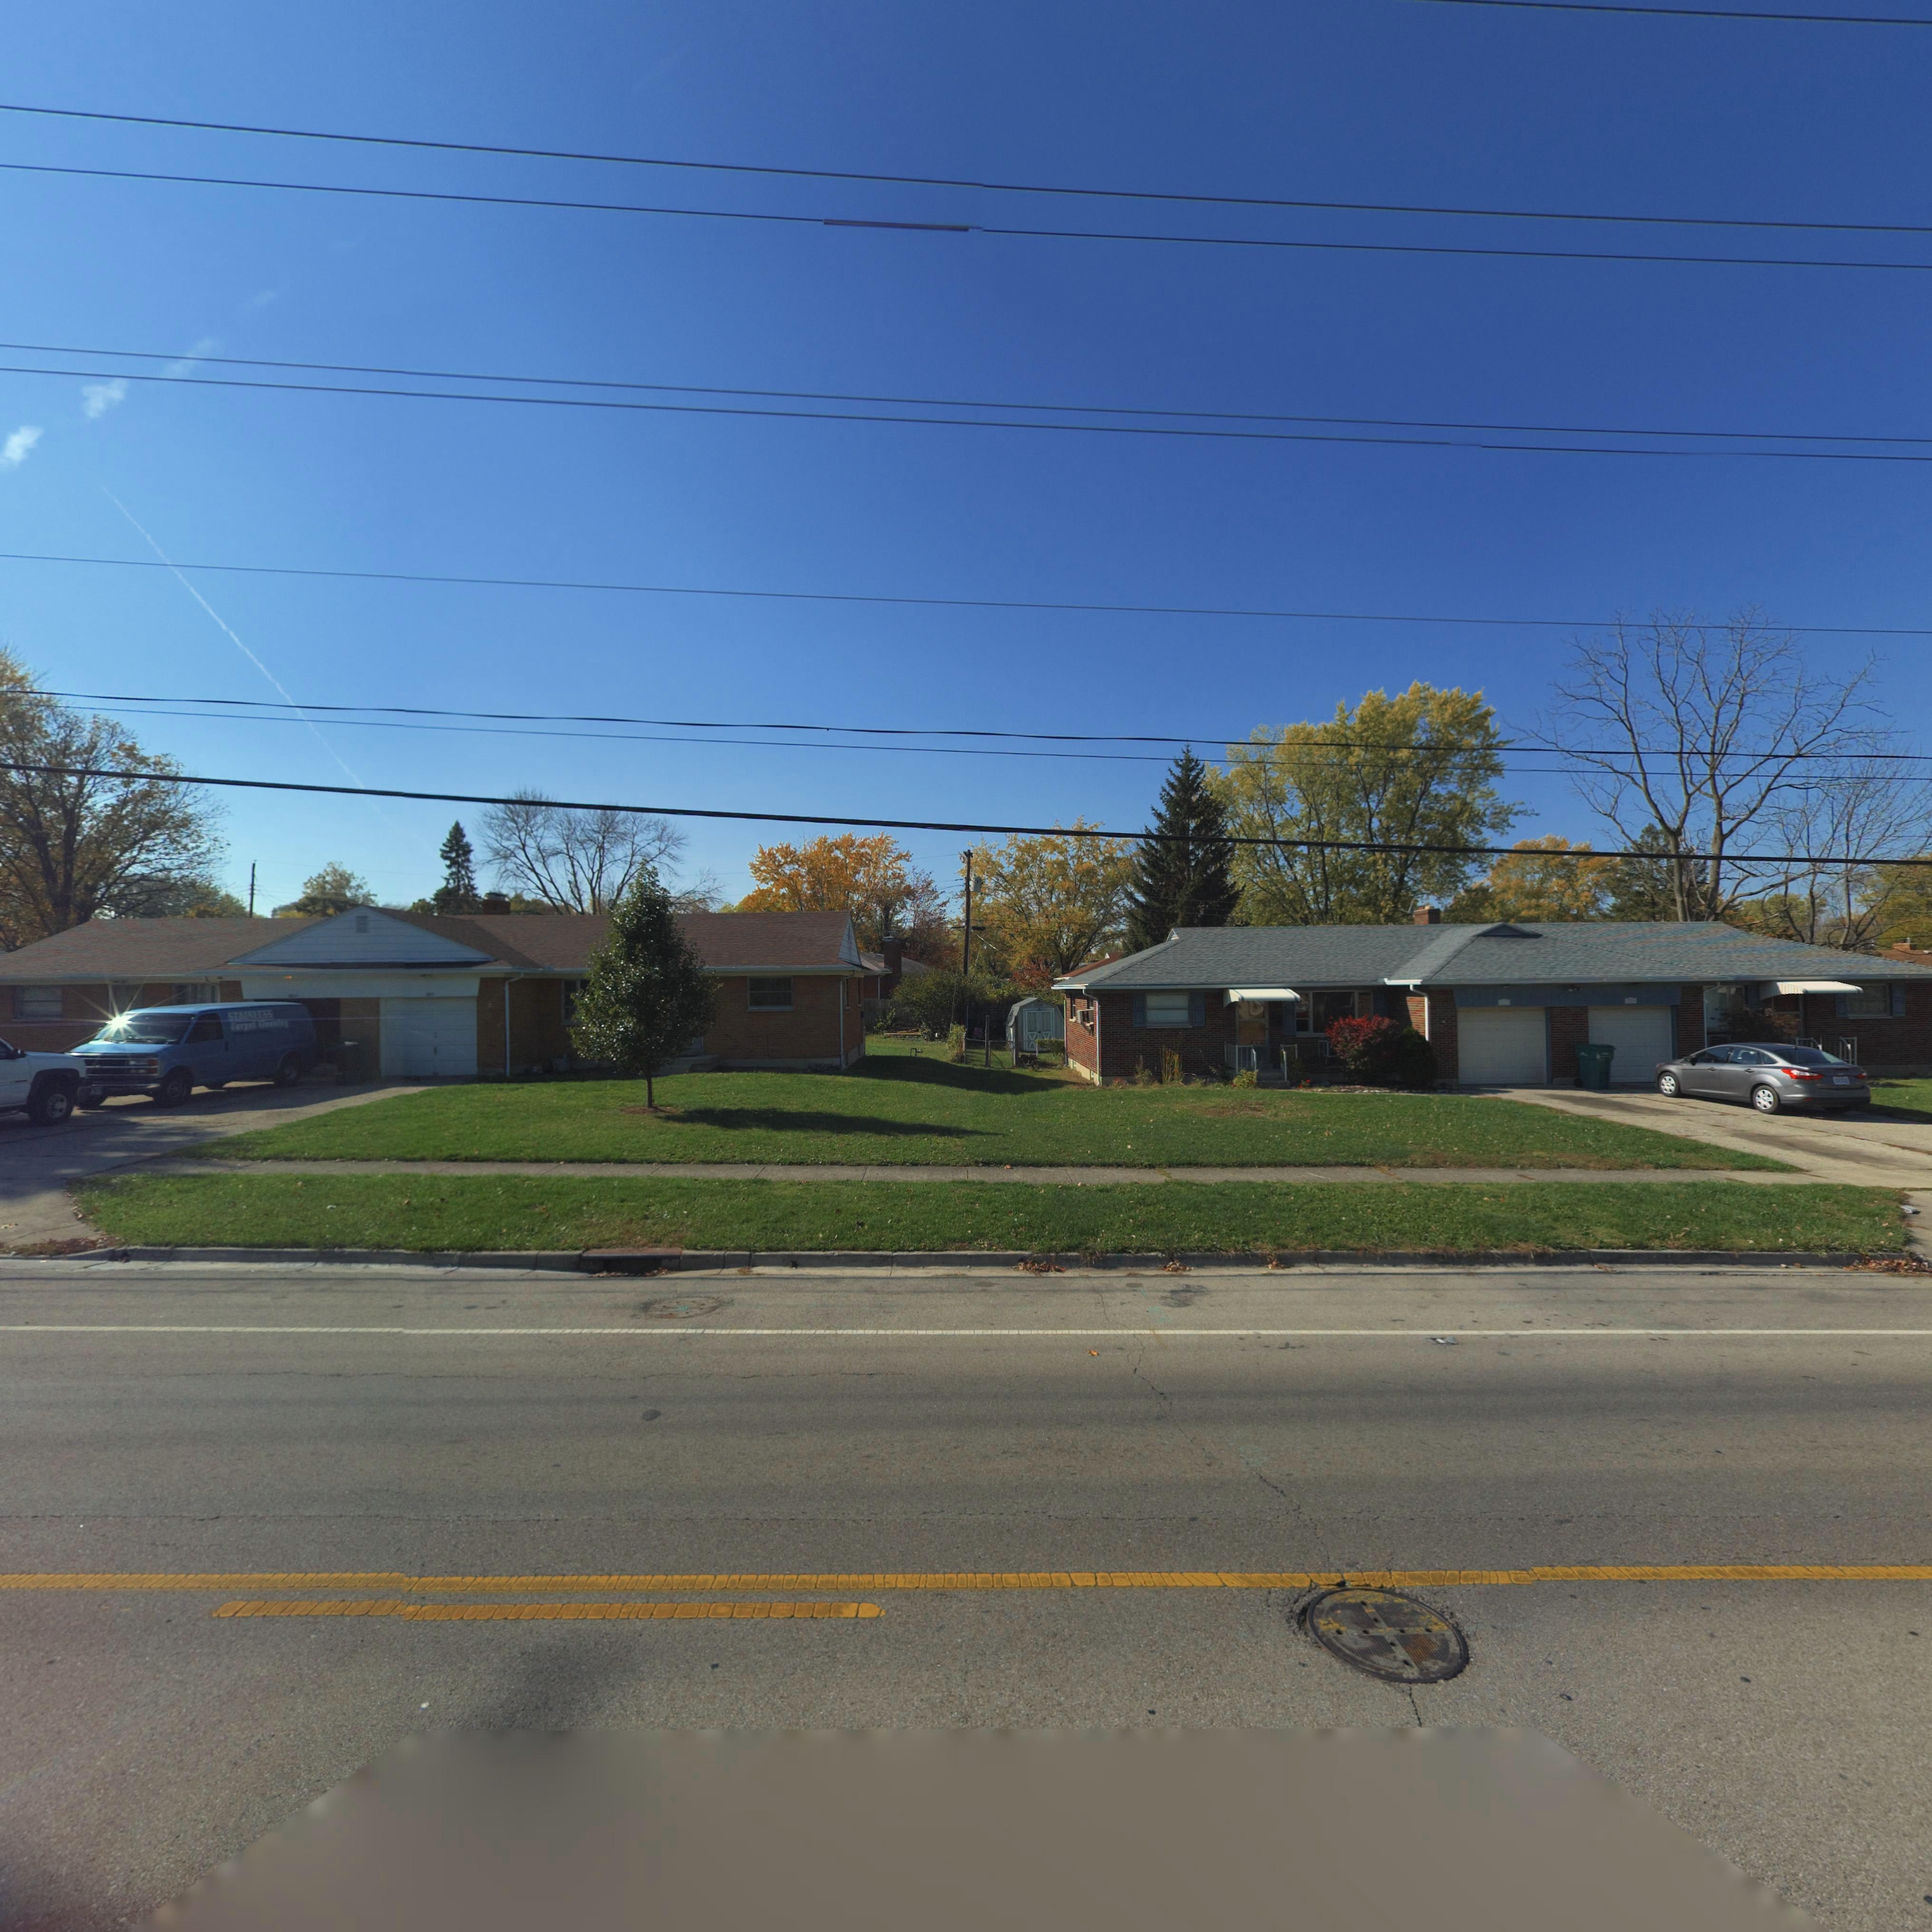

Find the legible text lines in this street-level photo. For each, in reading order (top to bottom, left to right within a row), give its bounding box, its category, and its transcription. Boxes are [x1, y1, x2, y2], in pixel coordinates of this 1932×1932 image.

[287, 994, 298, 997] StreetNumber: 3817
[426, 991, 434, 995] StreetNumber: 3817
[1499, 1000, 1509, 1005] StreetNumber: 3813
[1626, 999, 1636, 1003] StreetNumber: 3809
[227, 1009, 274, 1022] None: STAINLESS